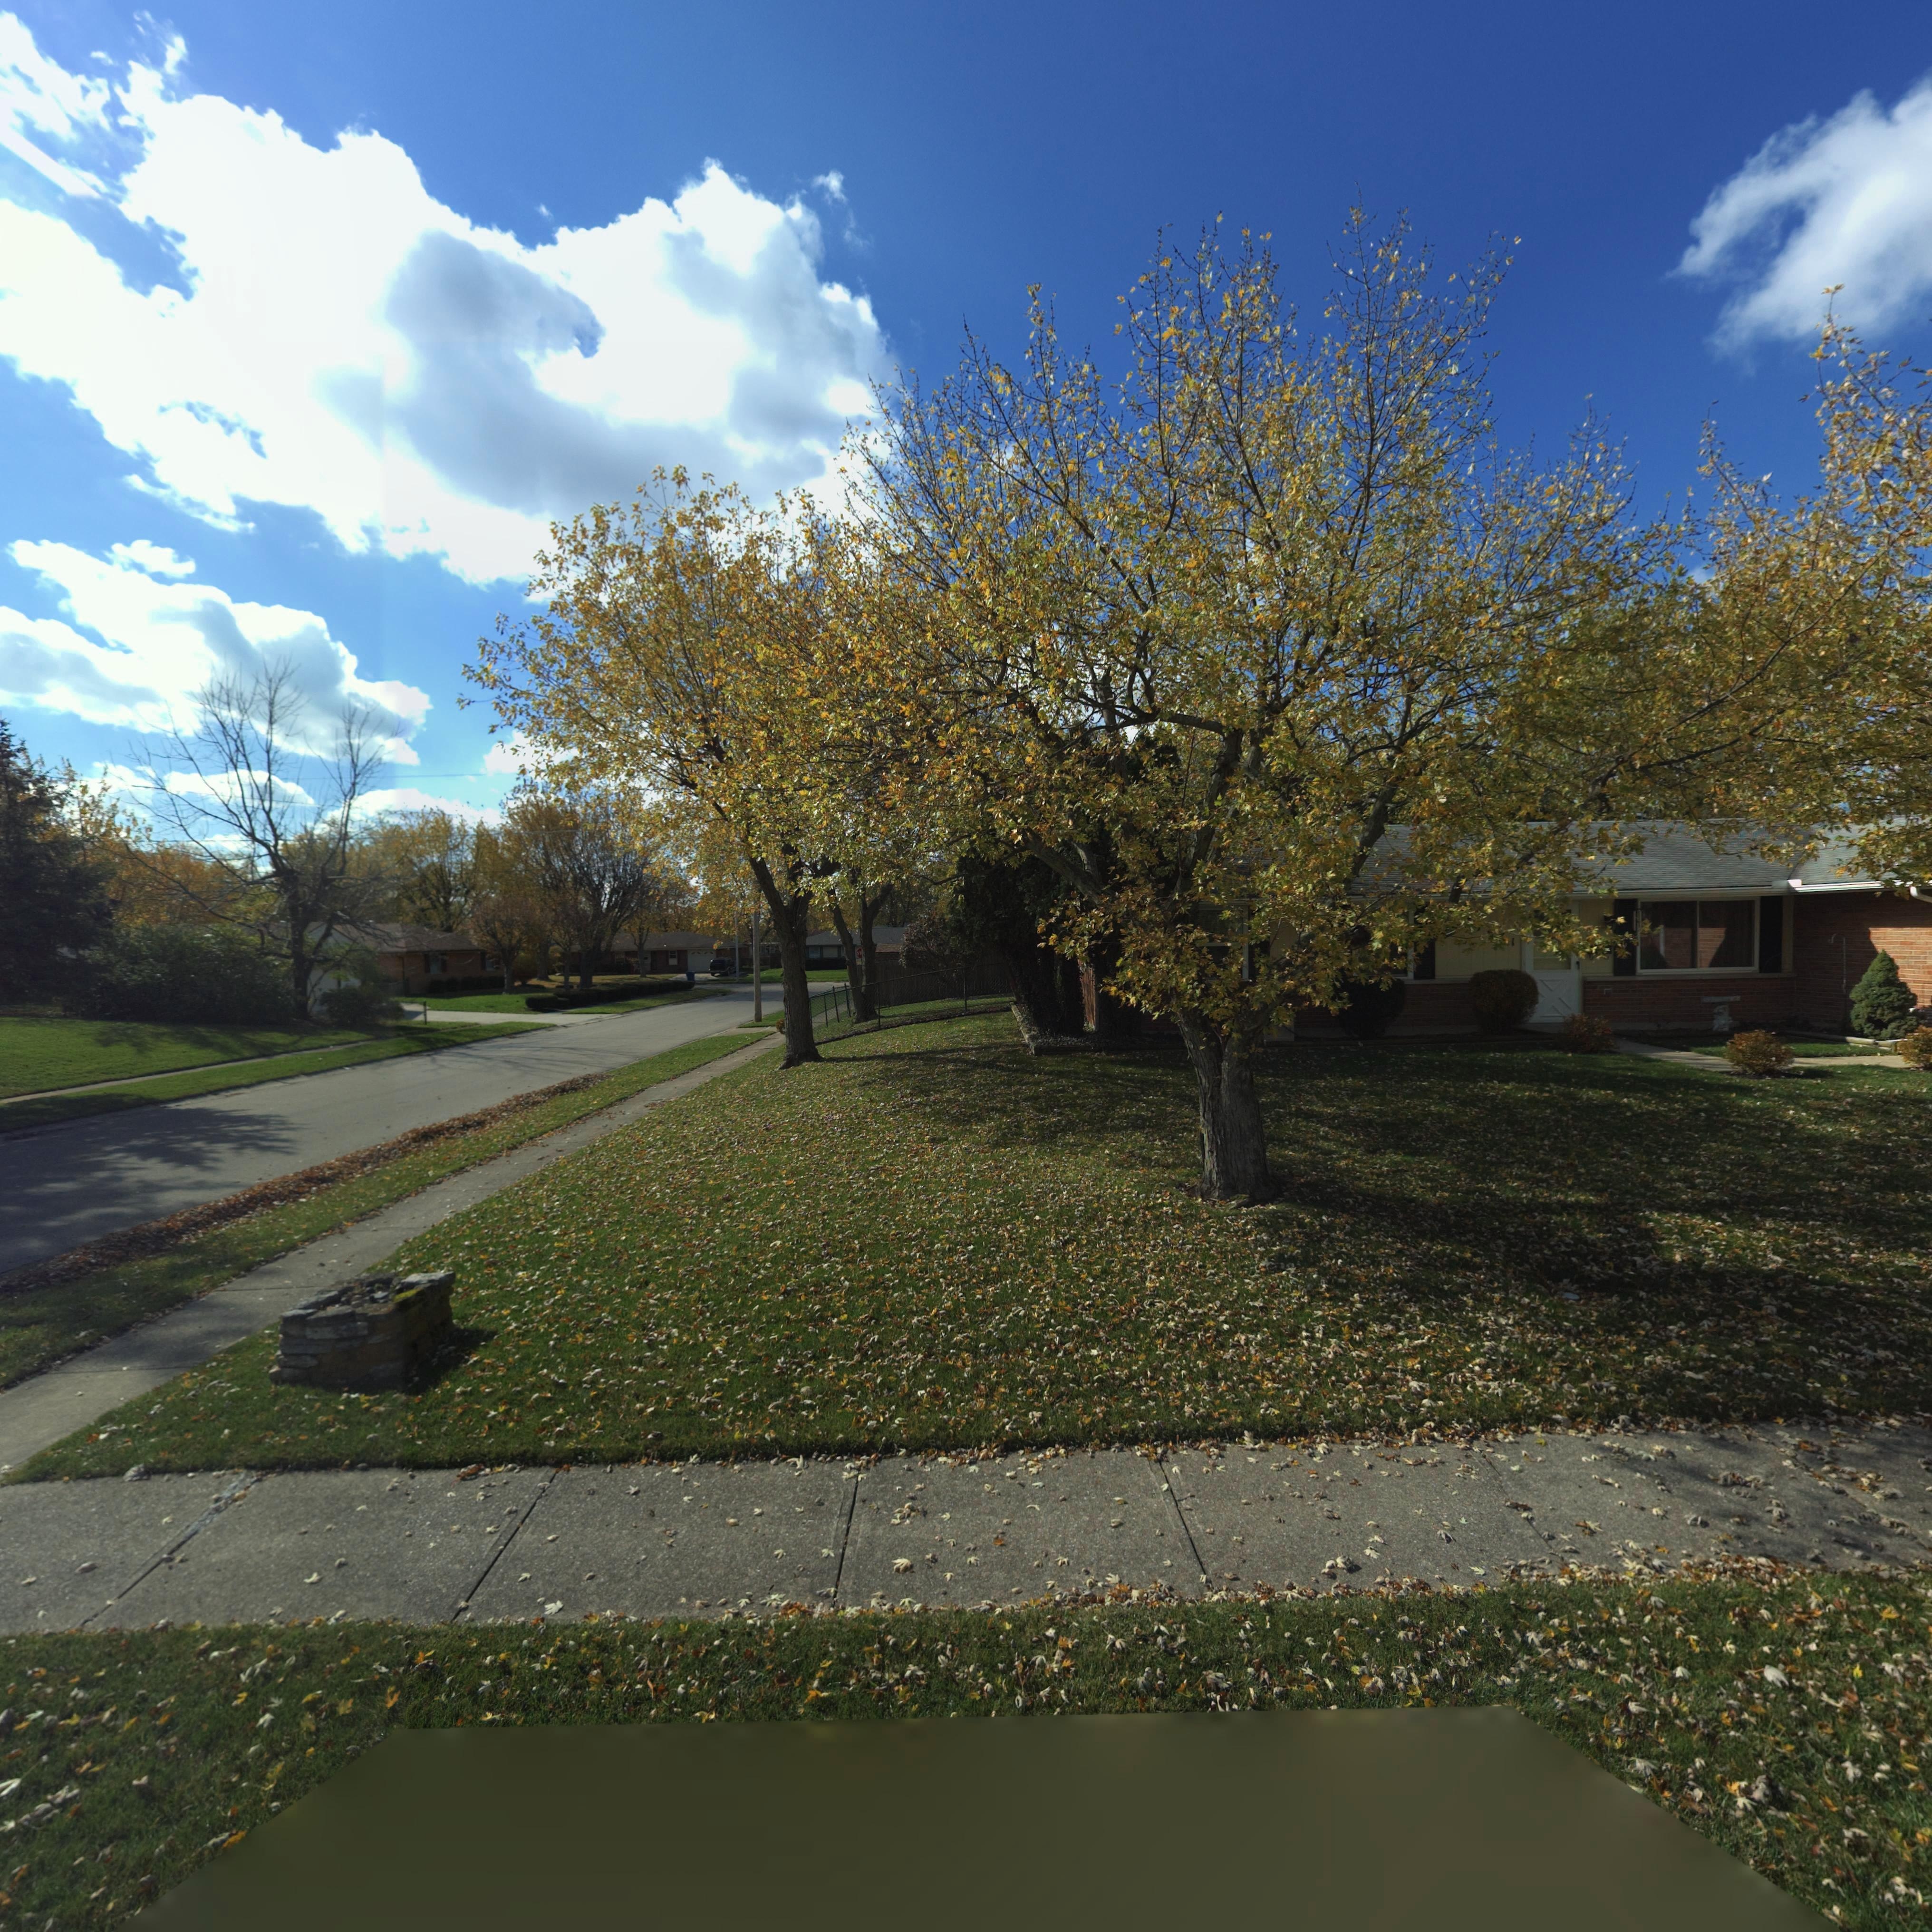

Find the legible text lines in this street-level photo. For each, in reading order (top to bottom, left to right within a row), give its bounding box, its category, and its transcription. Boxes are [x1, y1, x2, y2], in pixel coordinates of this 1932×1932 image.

[1510, 937, 1515, 947] StreetNumber: 1